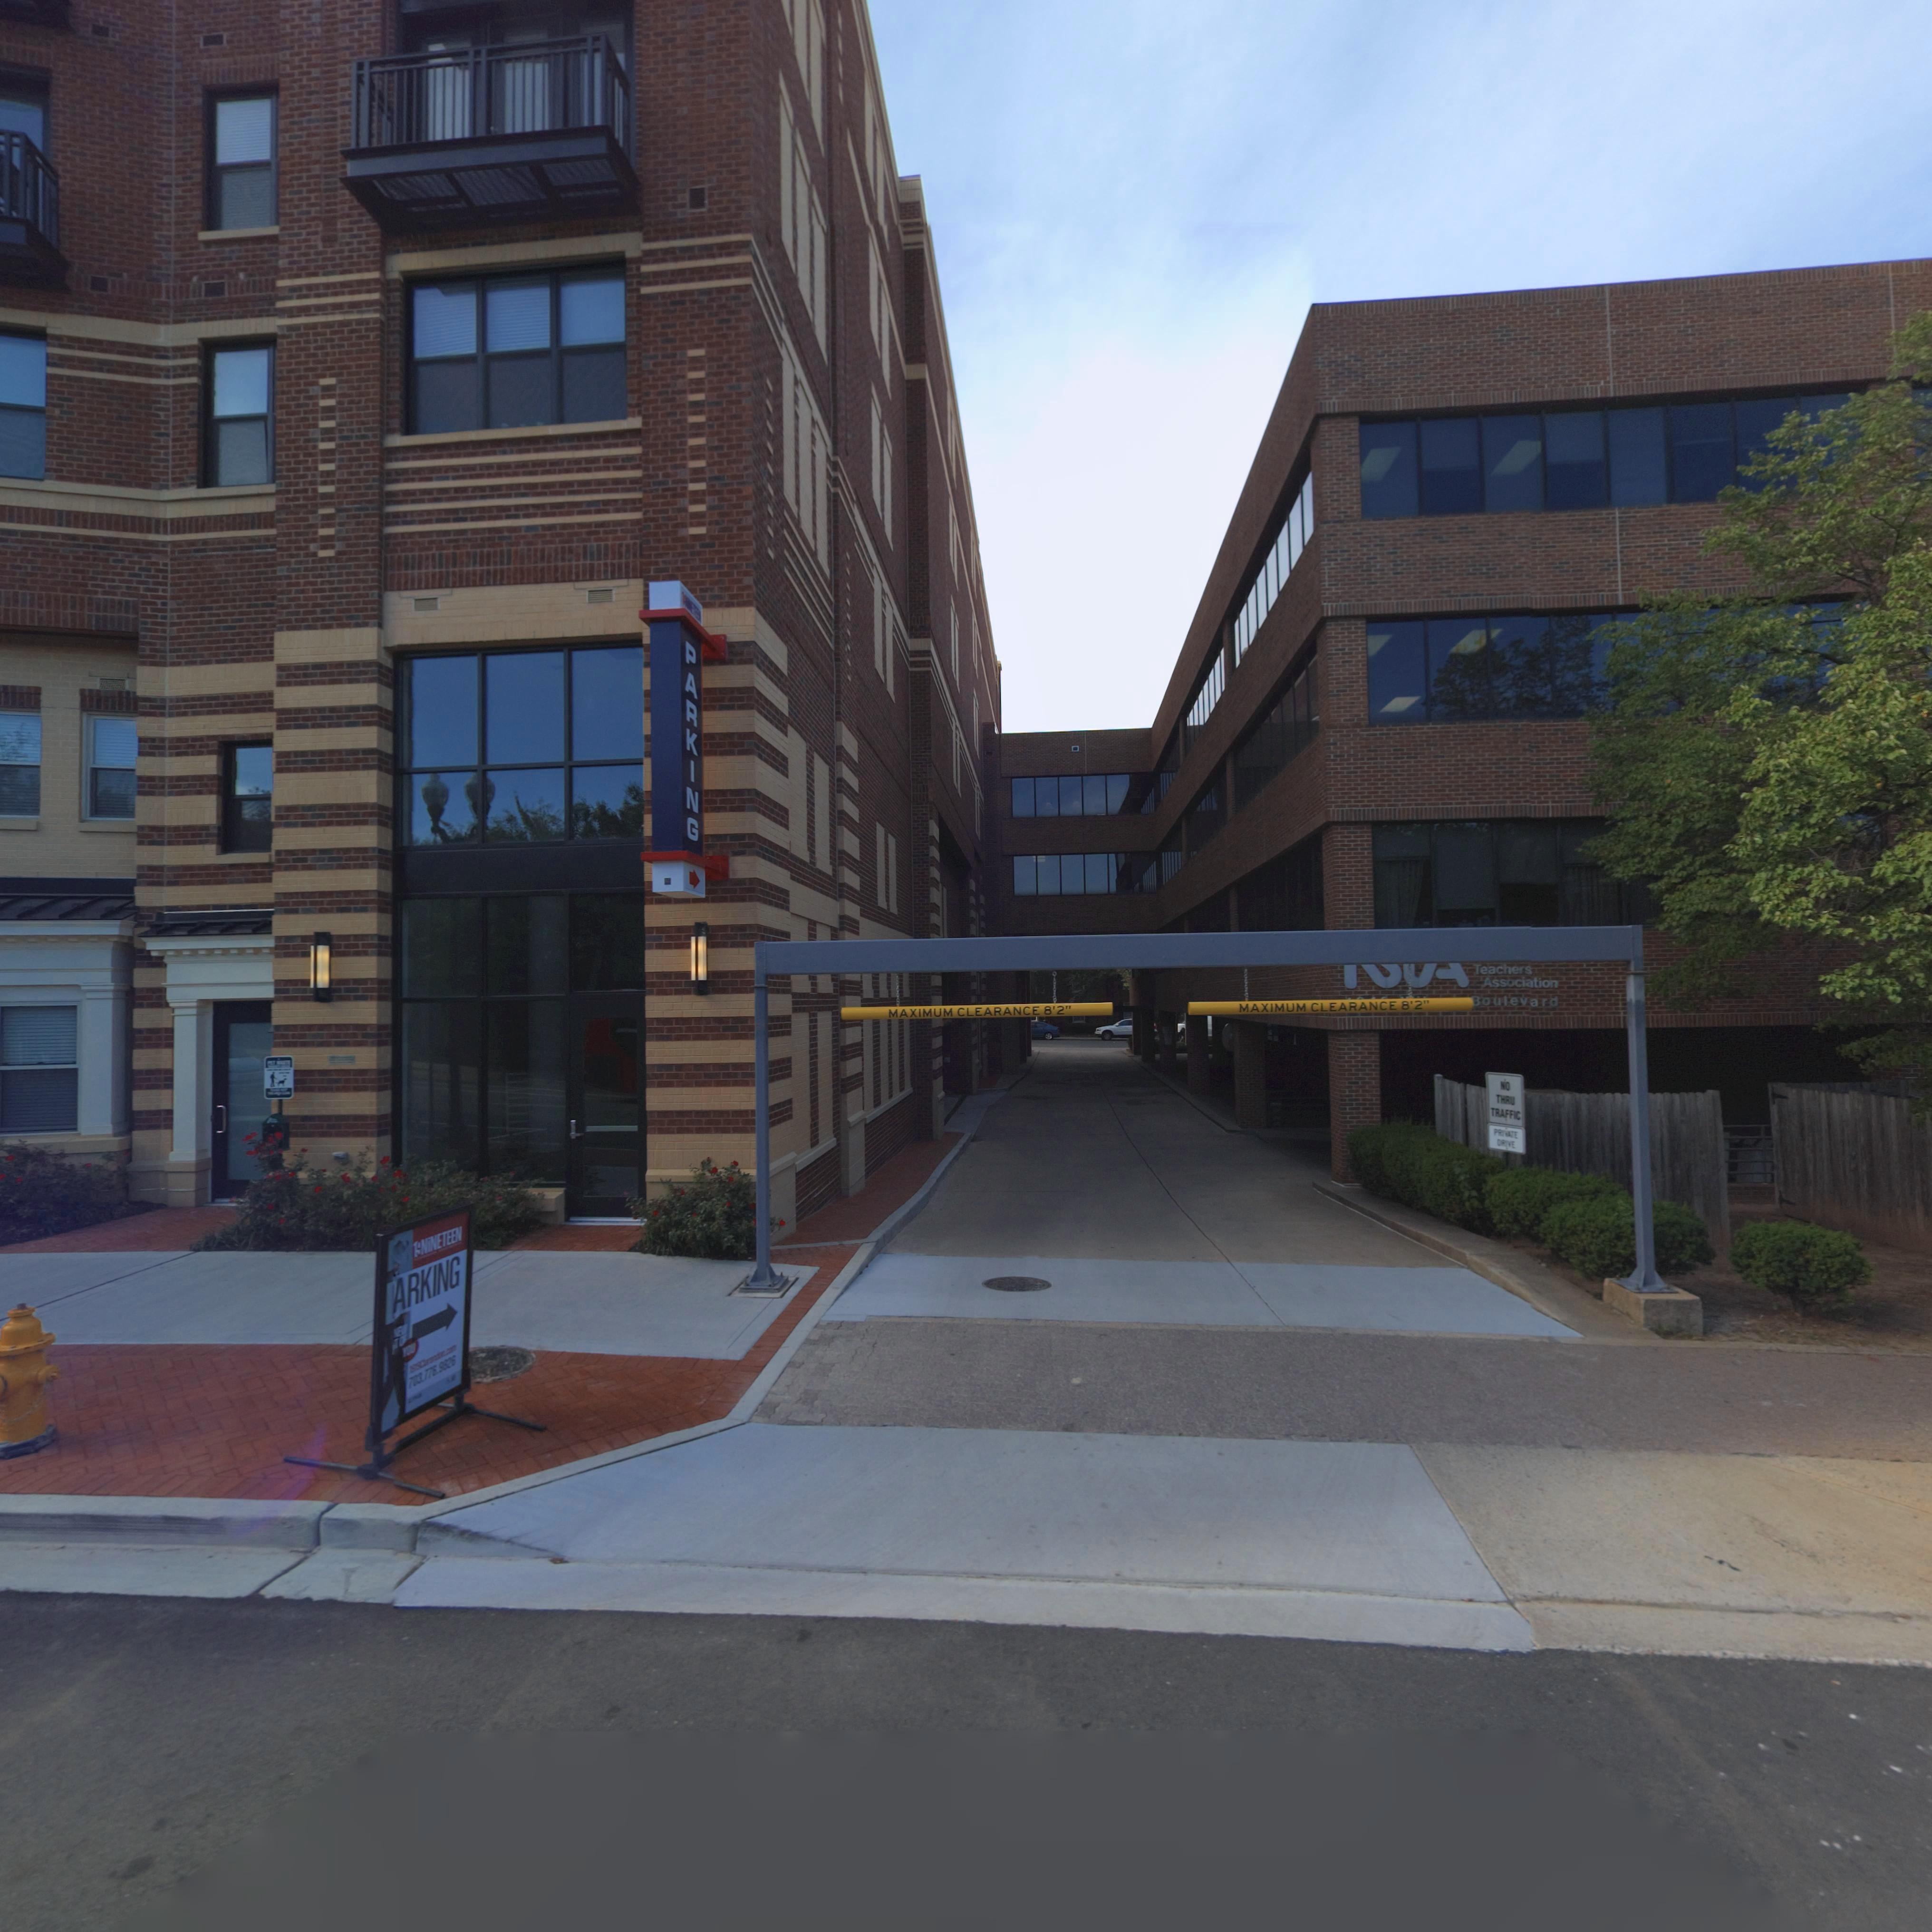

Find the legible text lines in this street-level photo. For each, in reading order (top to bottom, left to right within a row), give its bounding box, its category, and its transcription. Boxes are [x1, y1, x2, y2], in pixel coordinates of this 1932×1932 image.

[681, 637, 701, 845] None: PARKING
[1471, 962, 1534, 976] None: Teachers
[1481, 975, 1561, 990] None: Associ*tion
[888, 1004, 1072, 1019] None: MAXIMUM CLEARANCE 8'2"
[1238, 999, 1431, 1014] None: MAXIMUM CLEARANCE 8'2"
[1471, 994, 1560, 1008] None: Boulevard
[1499, 1080, 1512, 1092] None: NO
[1494, 1092, 1517, 1107] None: THRU
[1488, 1106, 1522, 1122] None: TRAFFIC
[1492, 1126, 1520, 1141] None: PRIVATE
[1496, 1137, 1517, 1150] None: DRIVE
[420, 1224, 464, 1256] None: NiNETEEN
[389, 1253, 462, 1316] None: ARKING
[401, 1341, 417, 1359] None: YOU
[407, 1353, 458, 1391] None: 703.776.9826